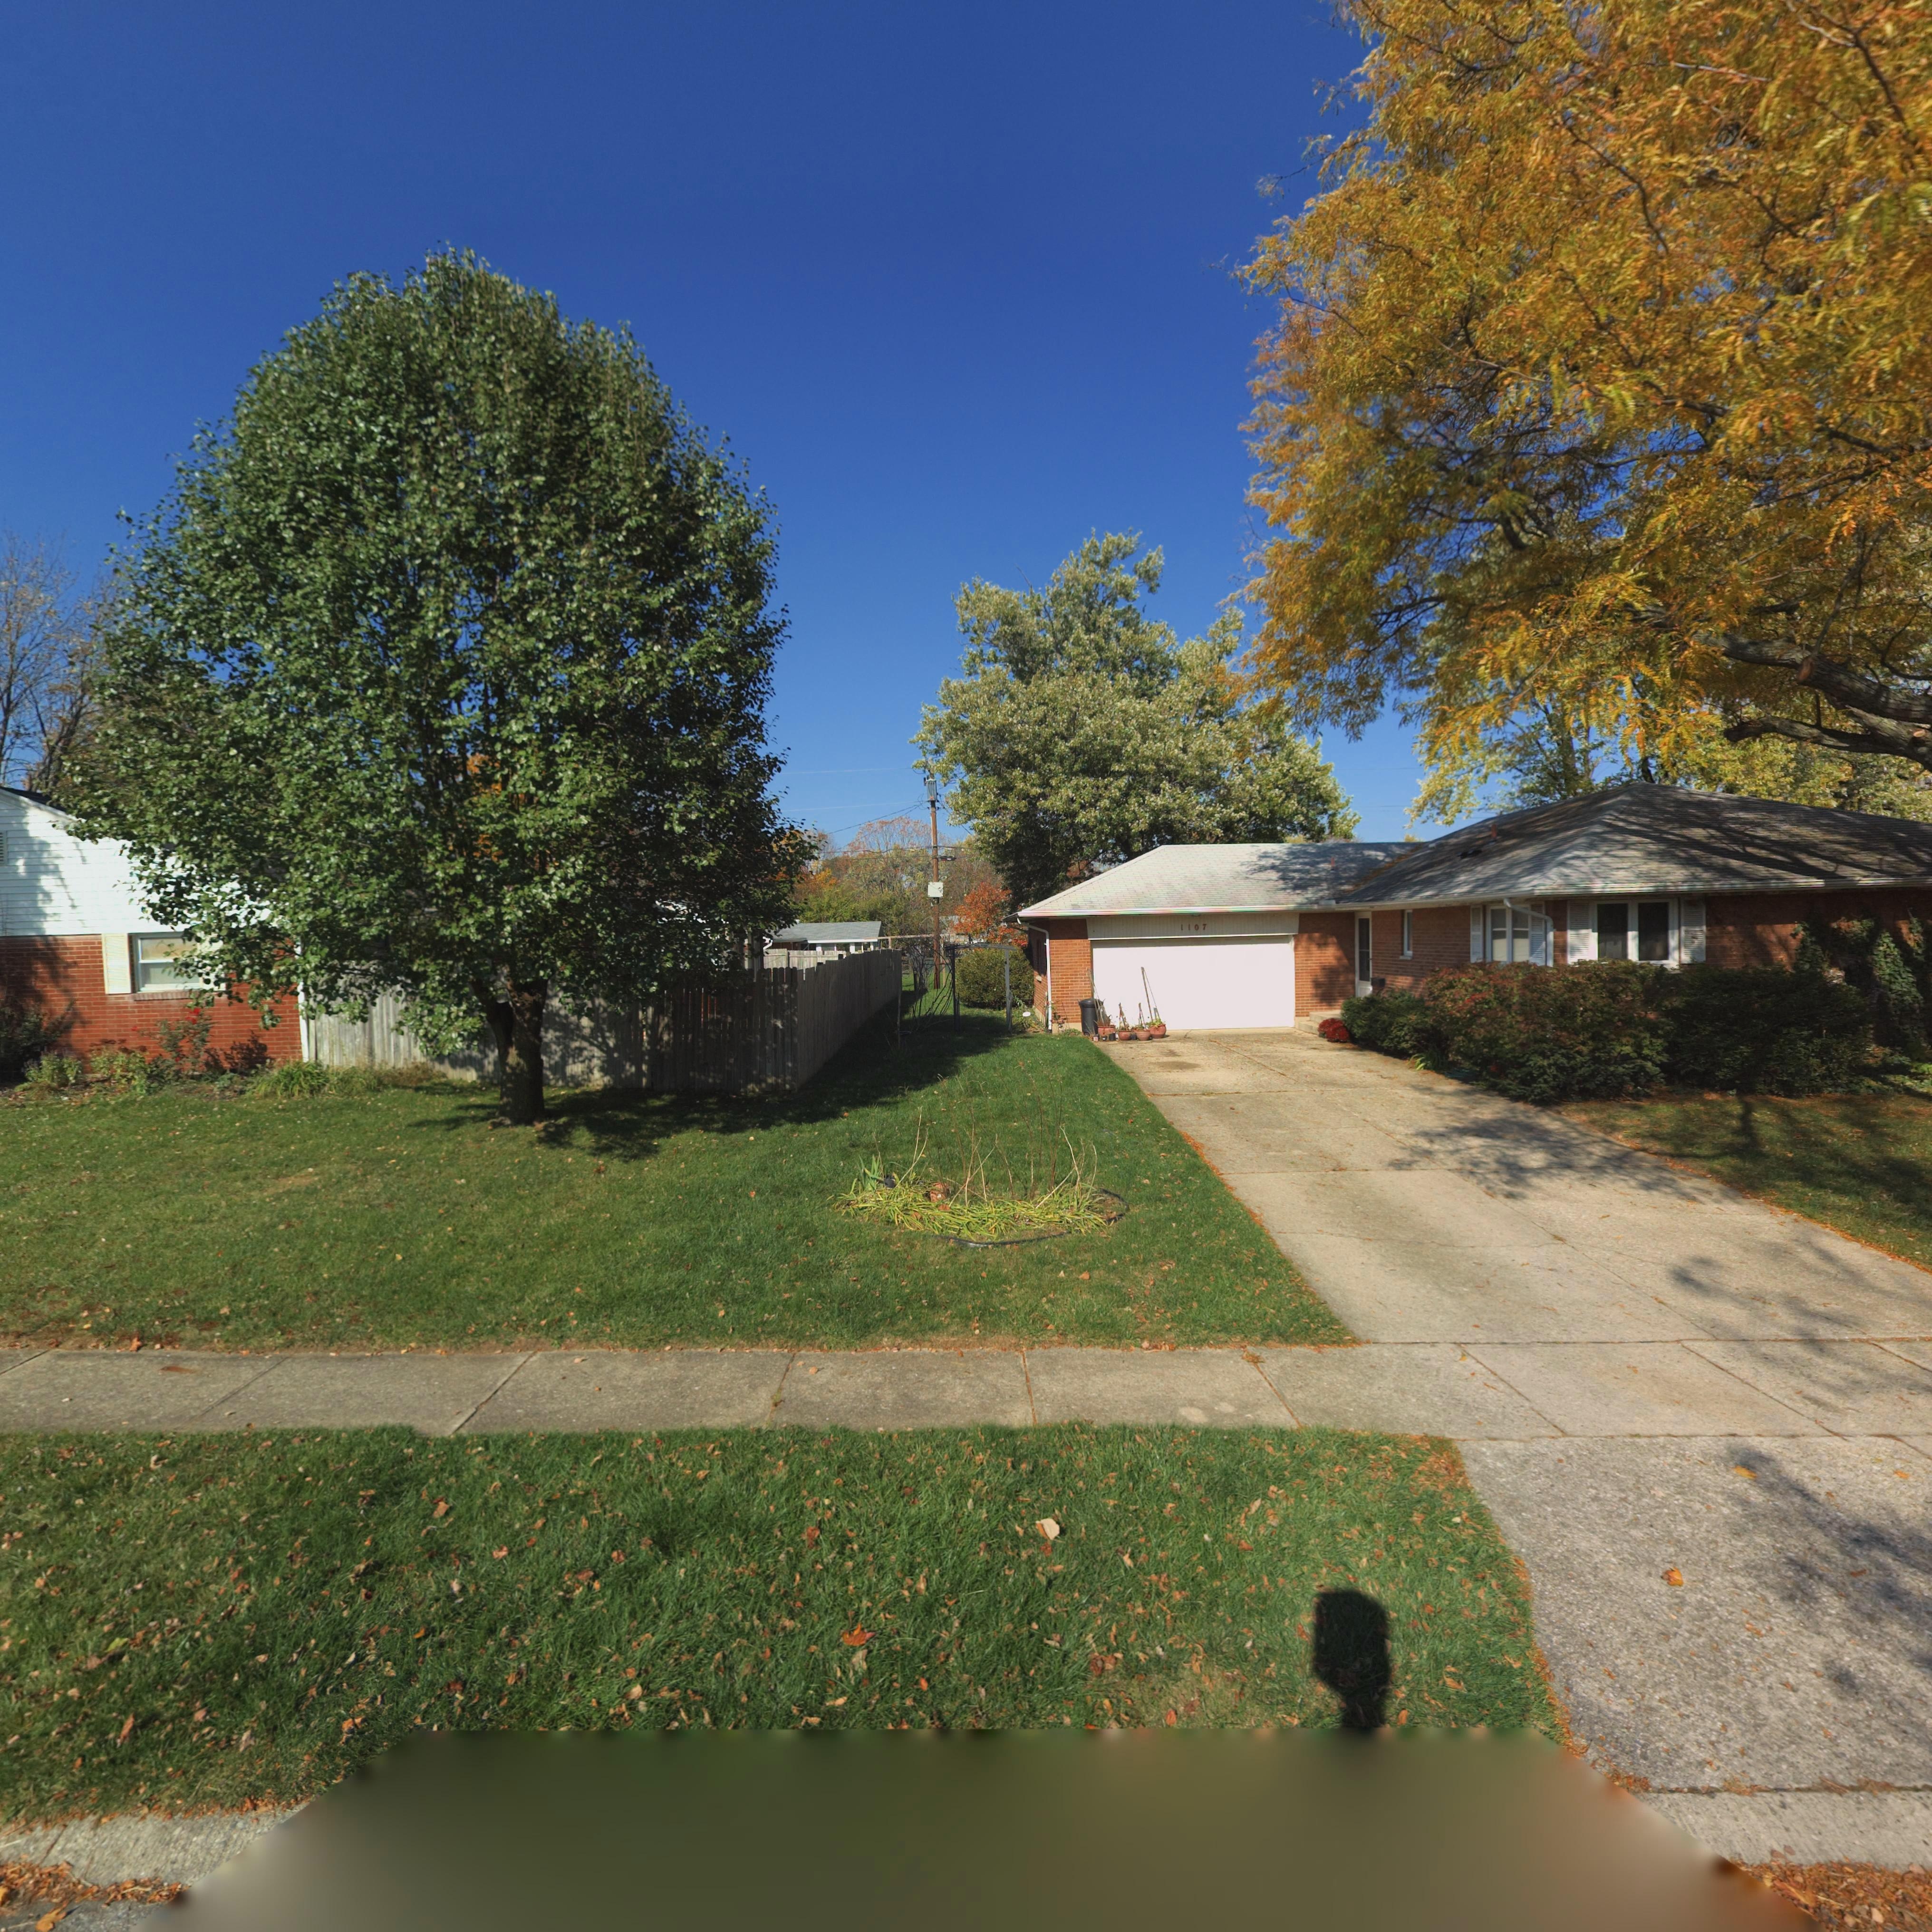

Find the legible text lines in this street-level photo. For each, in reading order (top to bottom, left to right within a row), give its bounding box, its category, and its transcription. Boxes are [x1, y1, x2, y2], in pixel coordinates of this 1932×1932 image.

[1179, 922, 1209, 932] StreetNumber: 1107